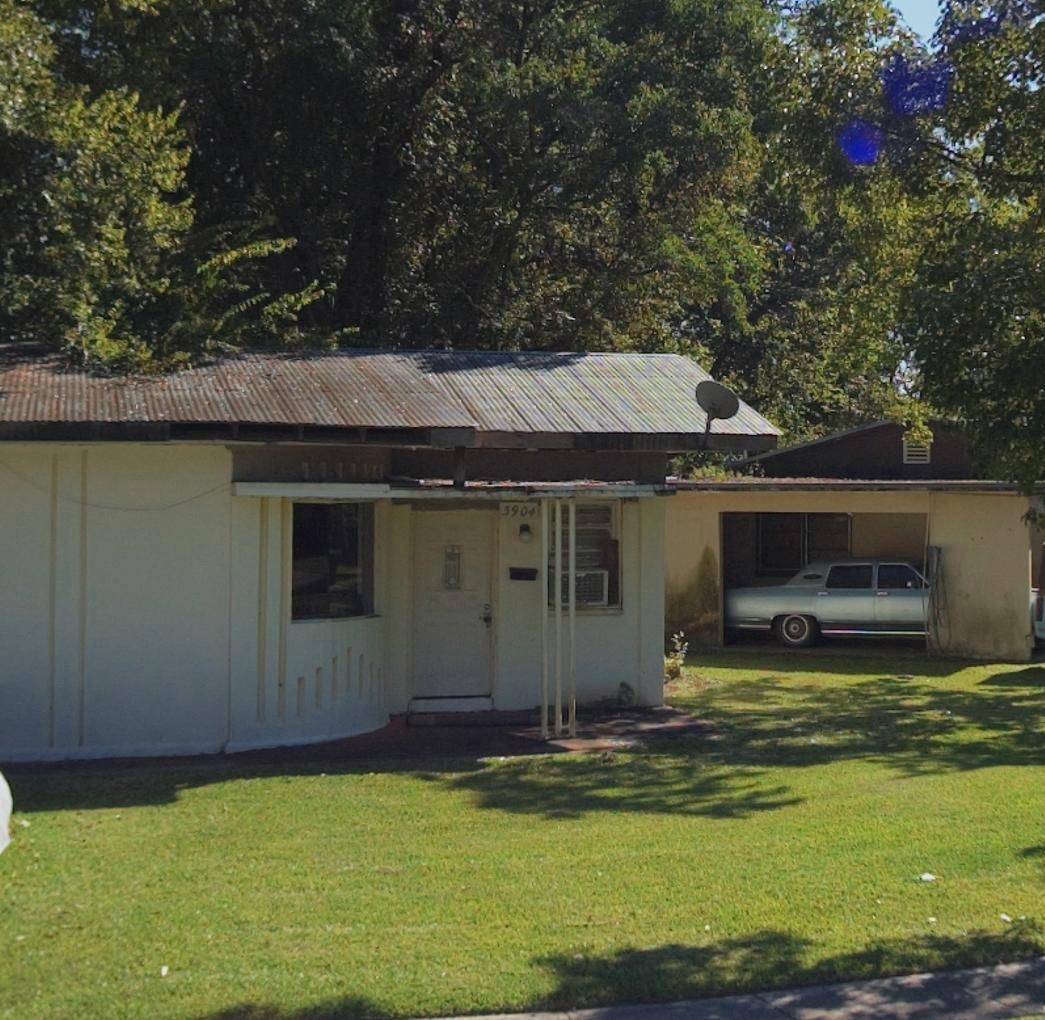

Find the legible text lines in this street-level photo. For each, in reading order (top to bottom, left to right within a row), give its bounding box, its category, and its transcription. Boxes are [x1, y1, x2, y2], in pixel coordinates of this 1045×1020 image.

[500, 504, 538, 518] StreetNumber: 3904